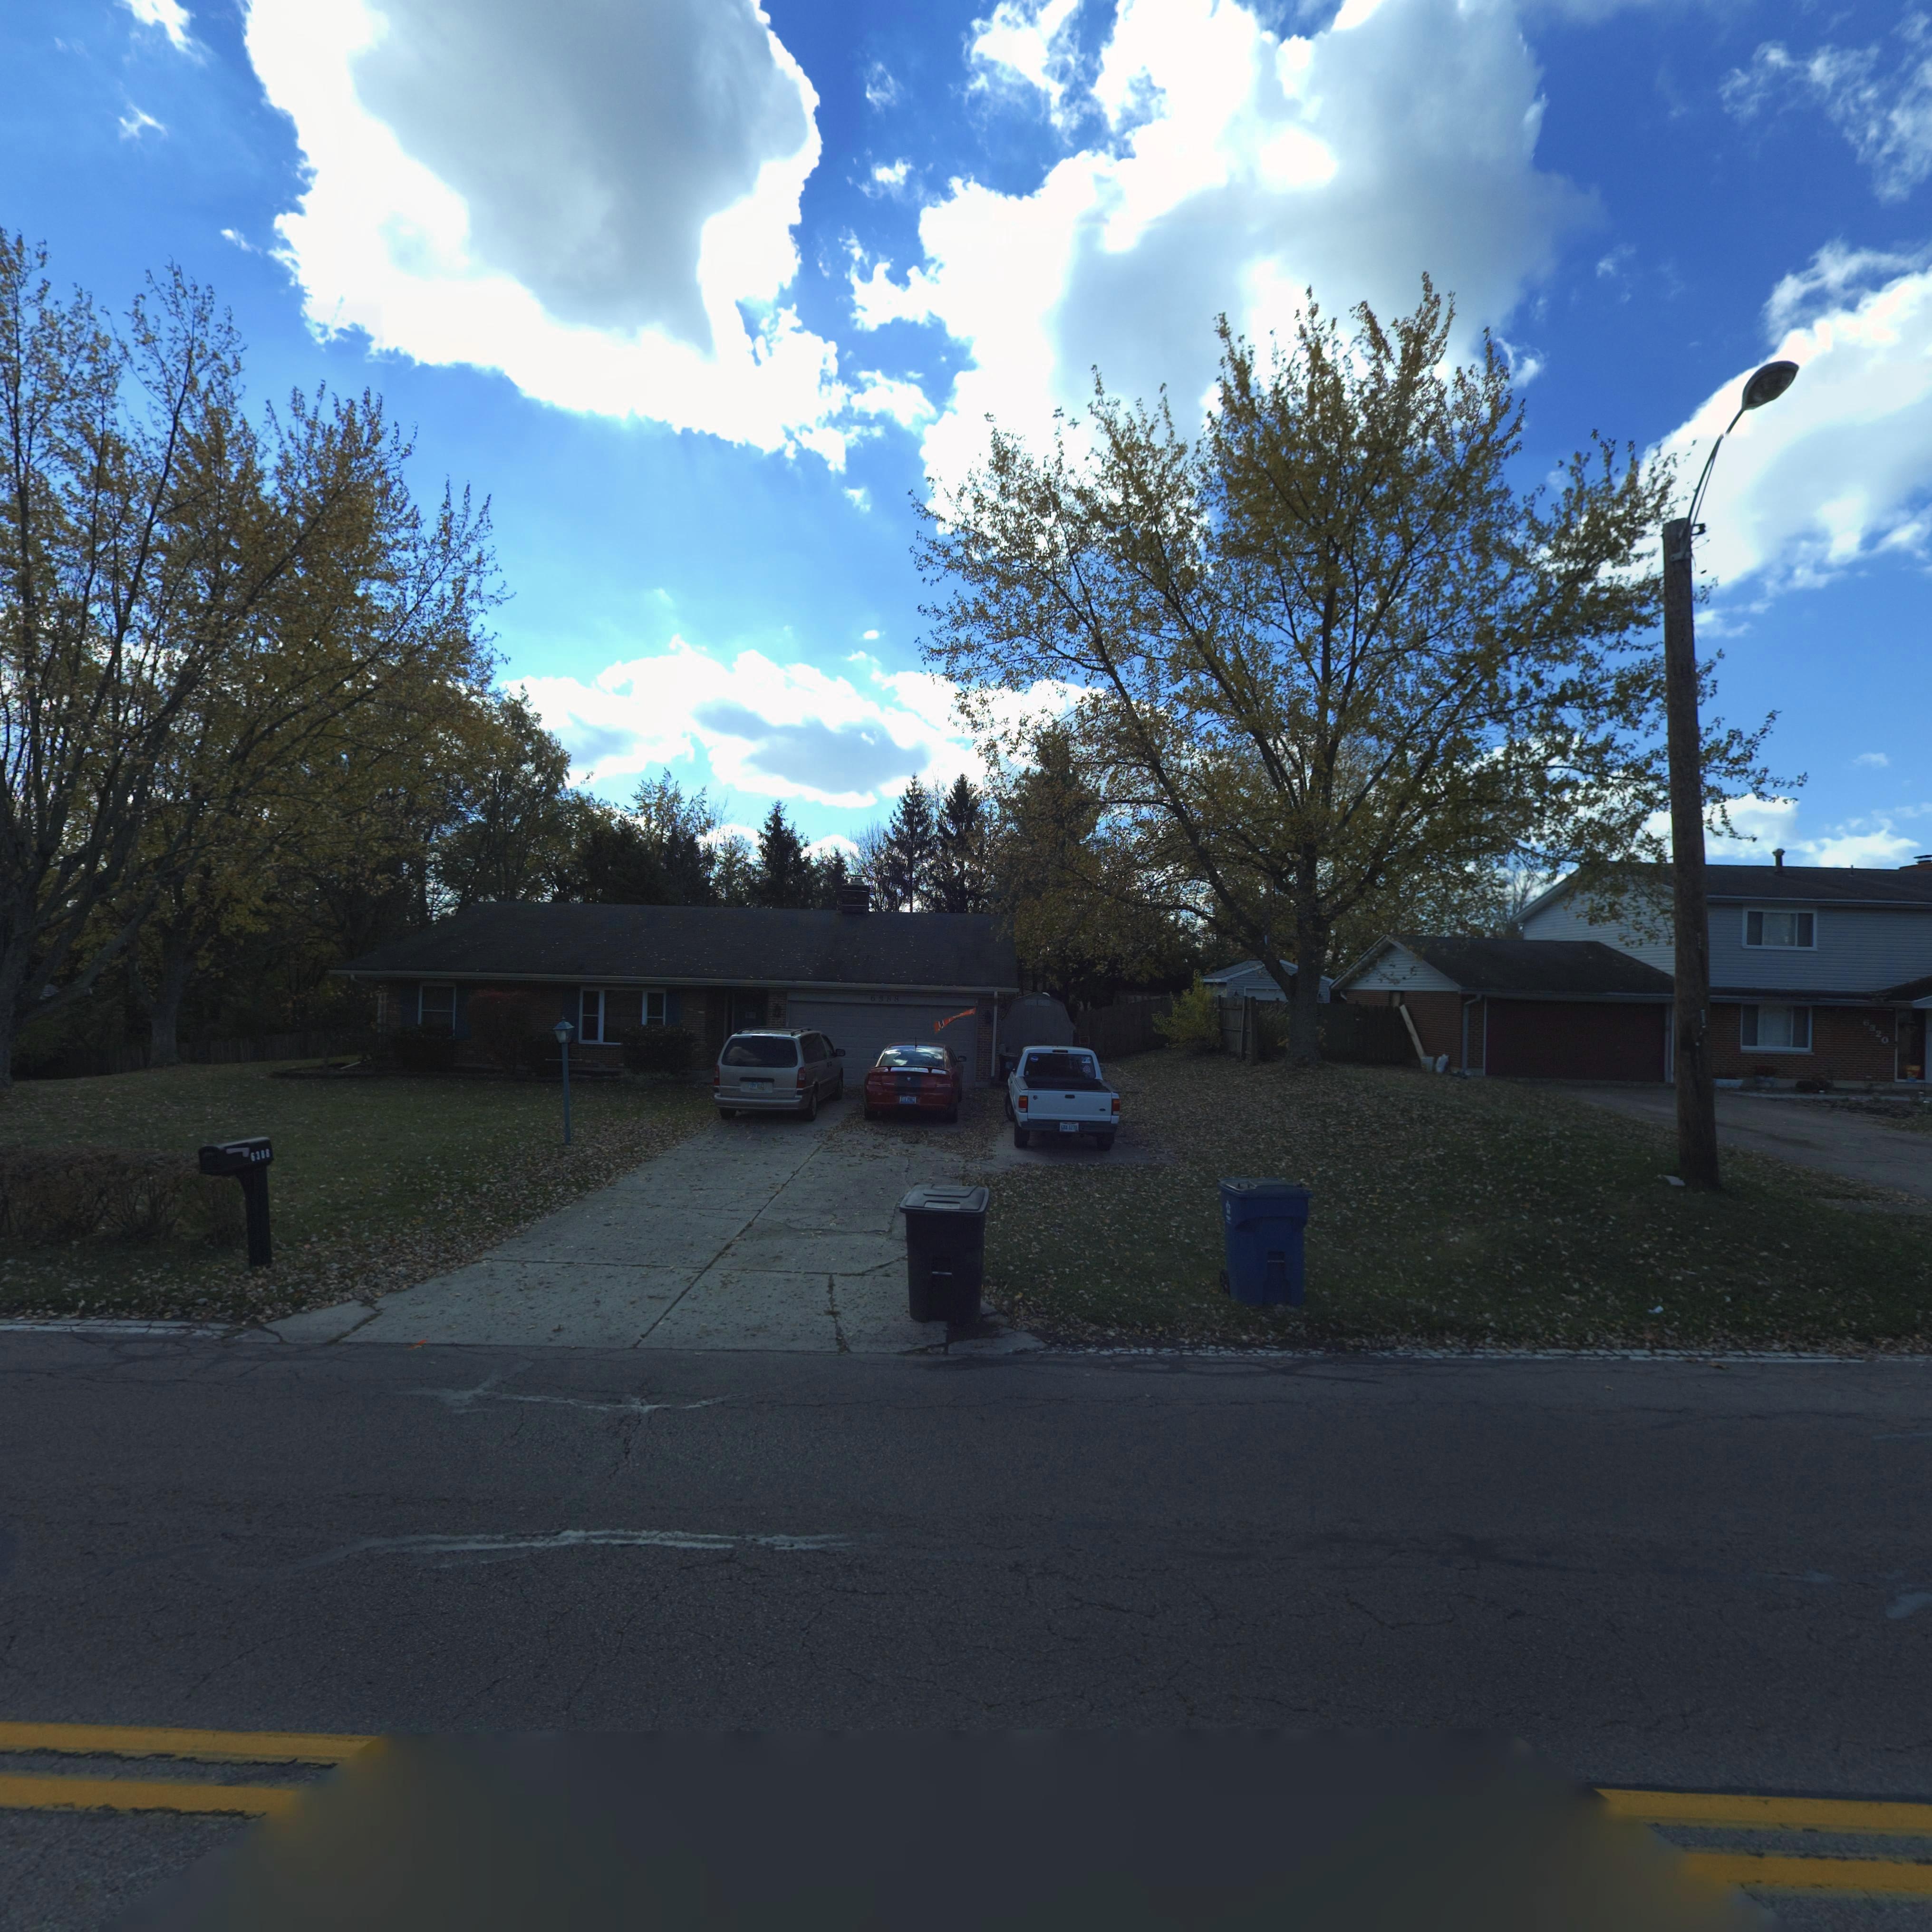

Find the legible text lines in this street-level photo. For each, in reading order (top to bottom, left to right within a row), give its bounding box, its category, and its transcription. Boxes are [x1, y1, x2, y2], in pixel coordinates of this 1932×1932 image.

[870, 994, 899, 1003] StreetNumber: 6388
[1863, 1018, 1889, 1045] StreetNumber: 6320
[250, 1148, 270, 1162] StreetNumber: 6388